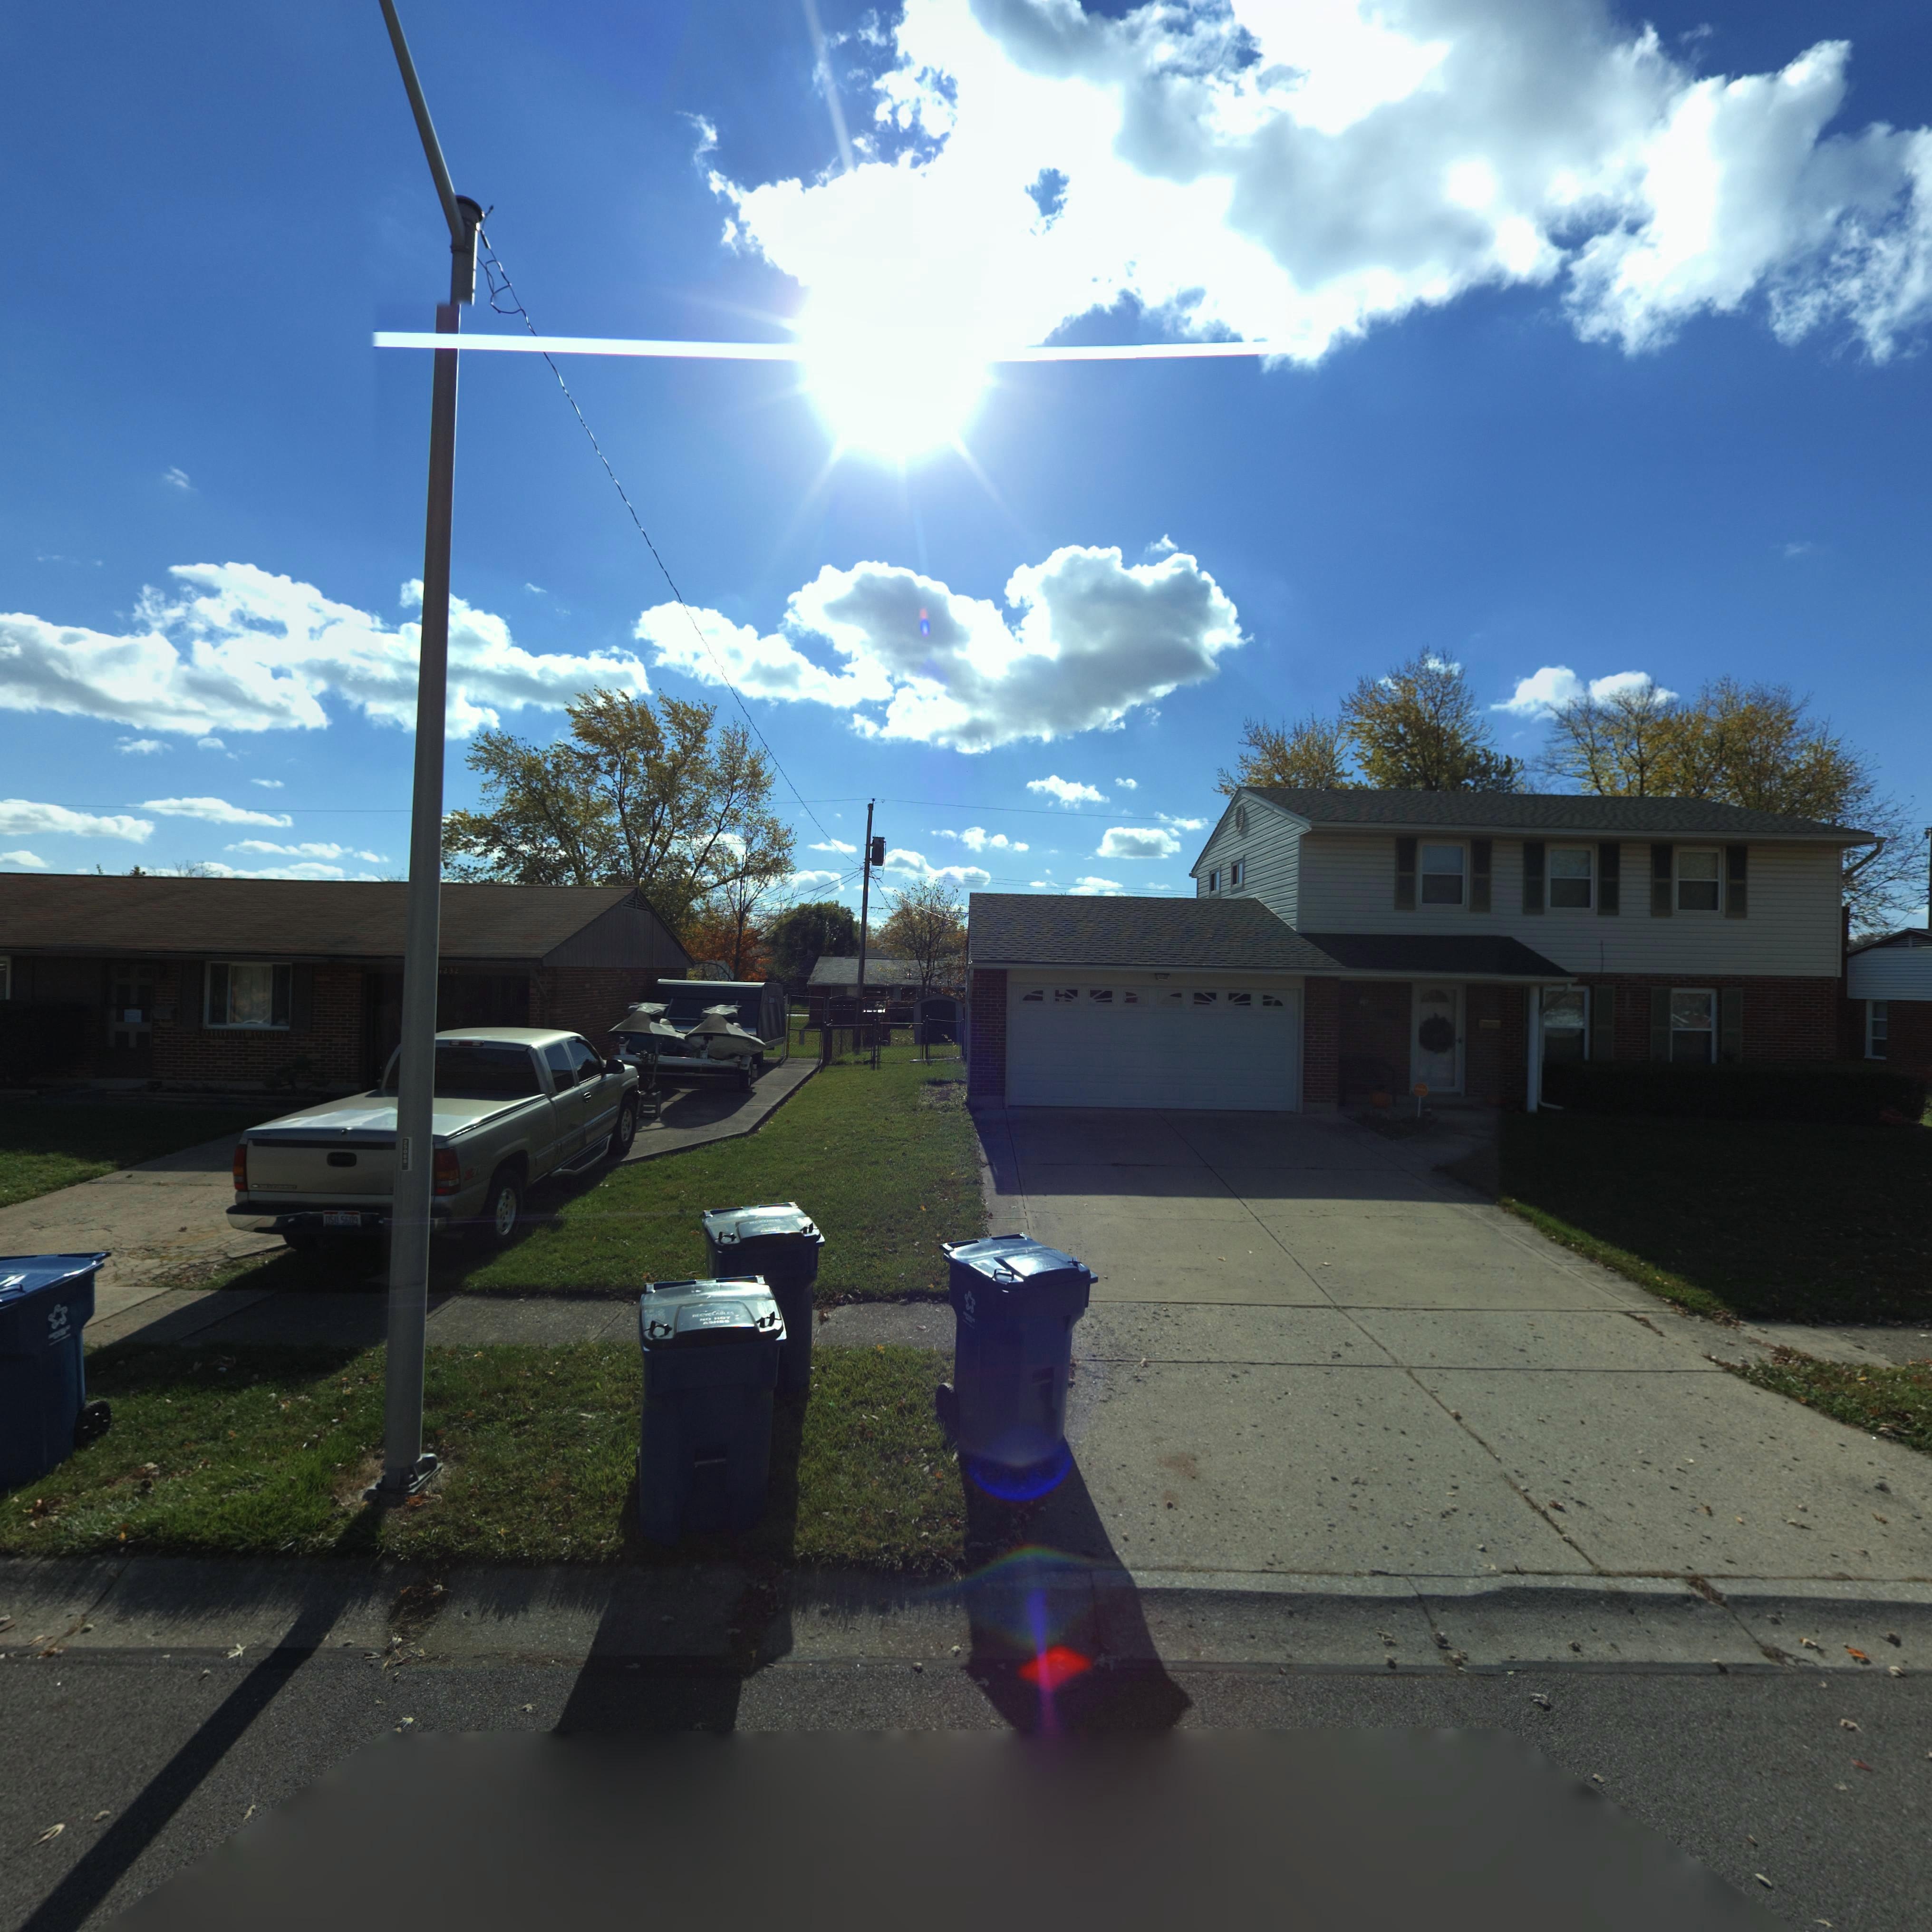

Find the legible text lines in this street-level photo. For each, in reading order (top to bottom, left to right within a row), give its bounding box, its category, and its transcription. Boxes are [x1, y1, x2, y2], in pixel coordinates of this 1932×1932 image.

[442, 966, 460, 975] StreetNumber: 23*